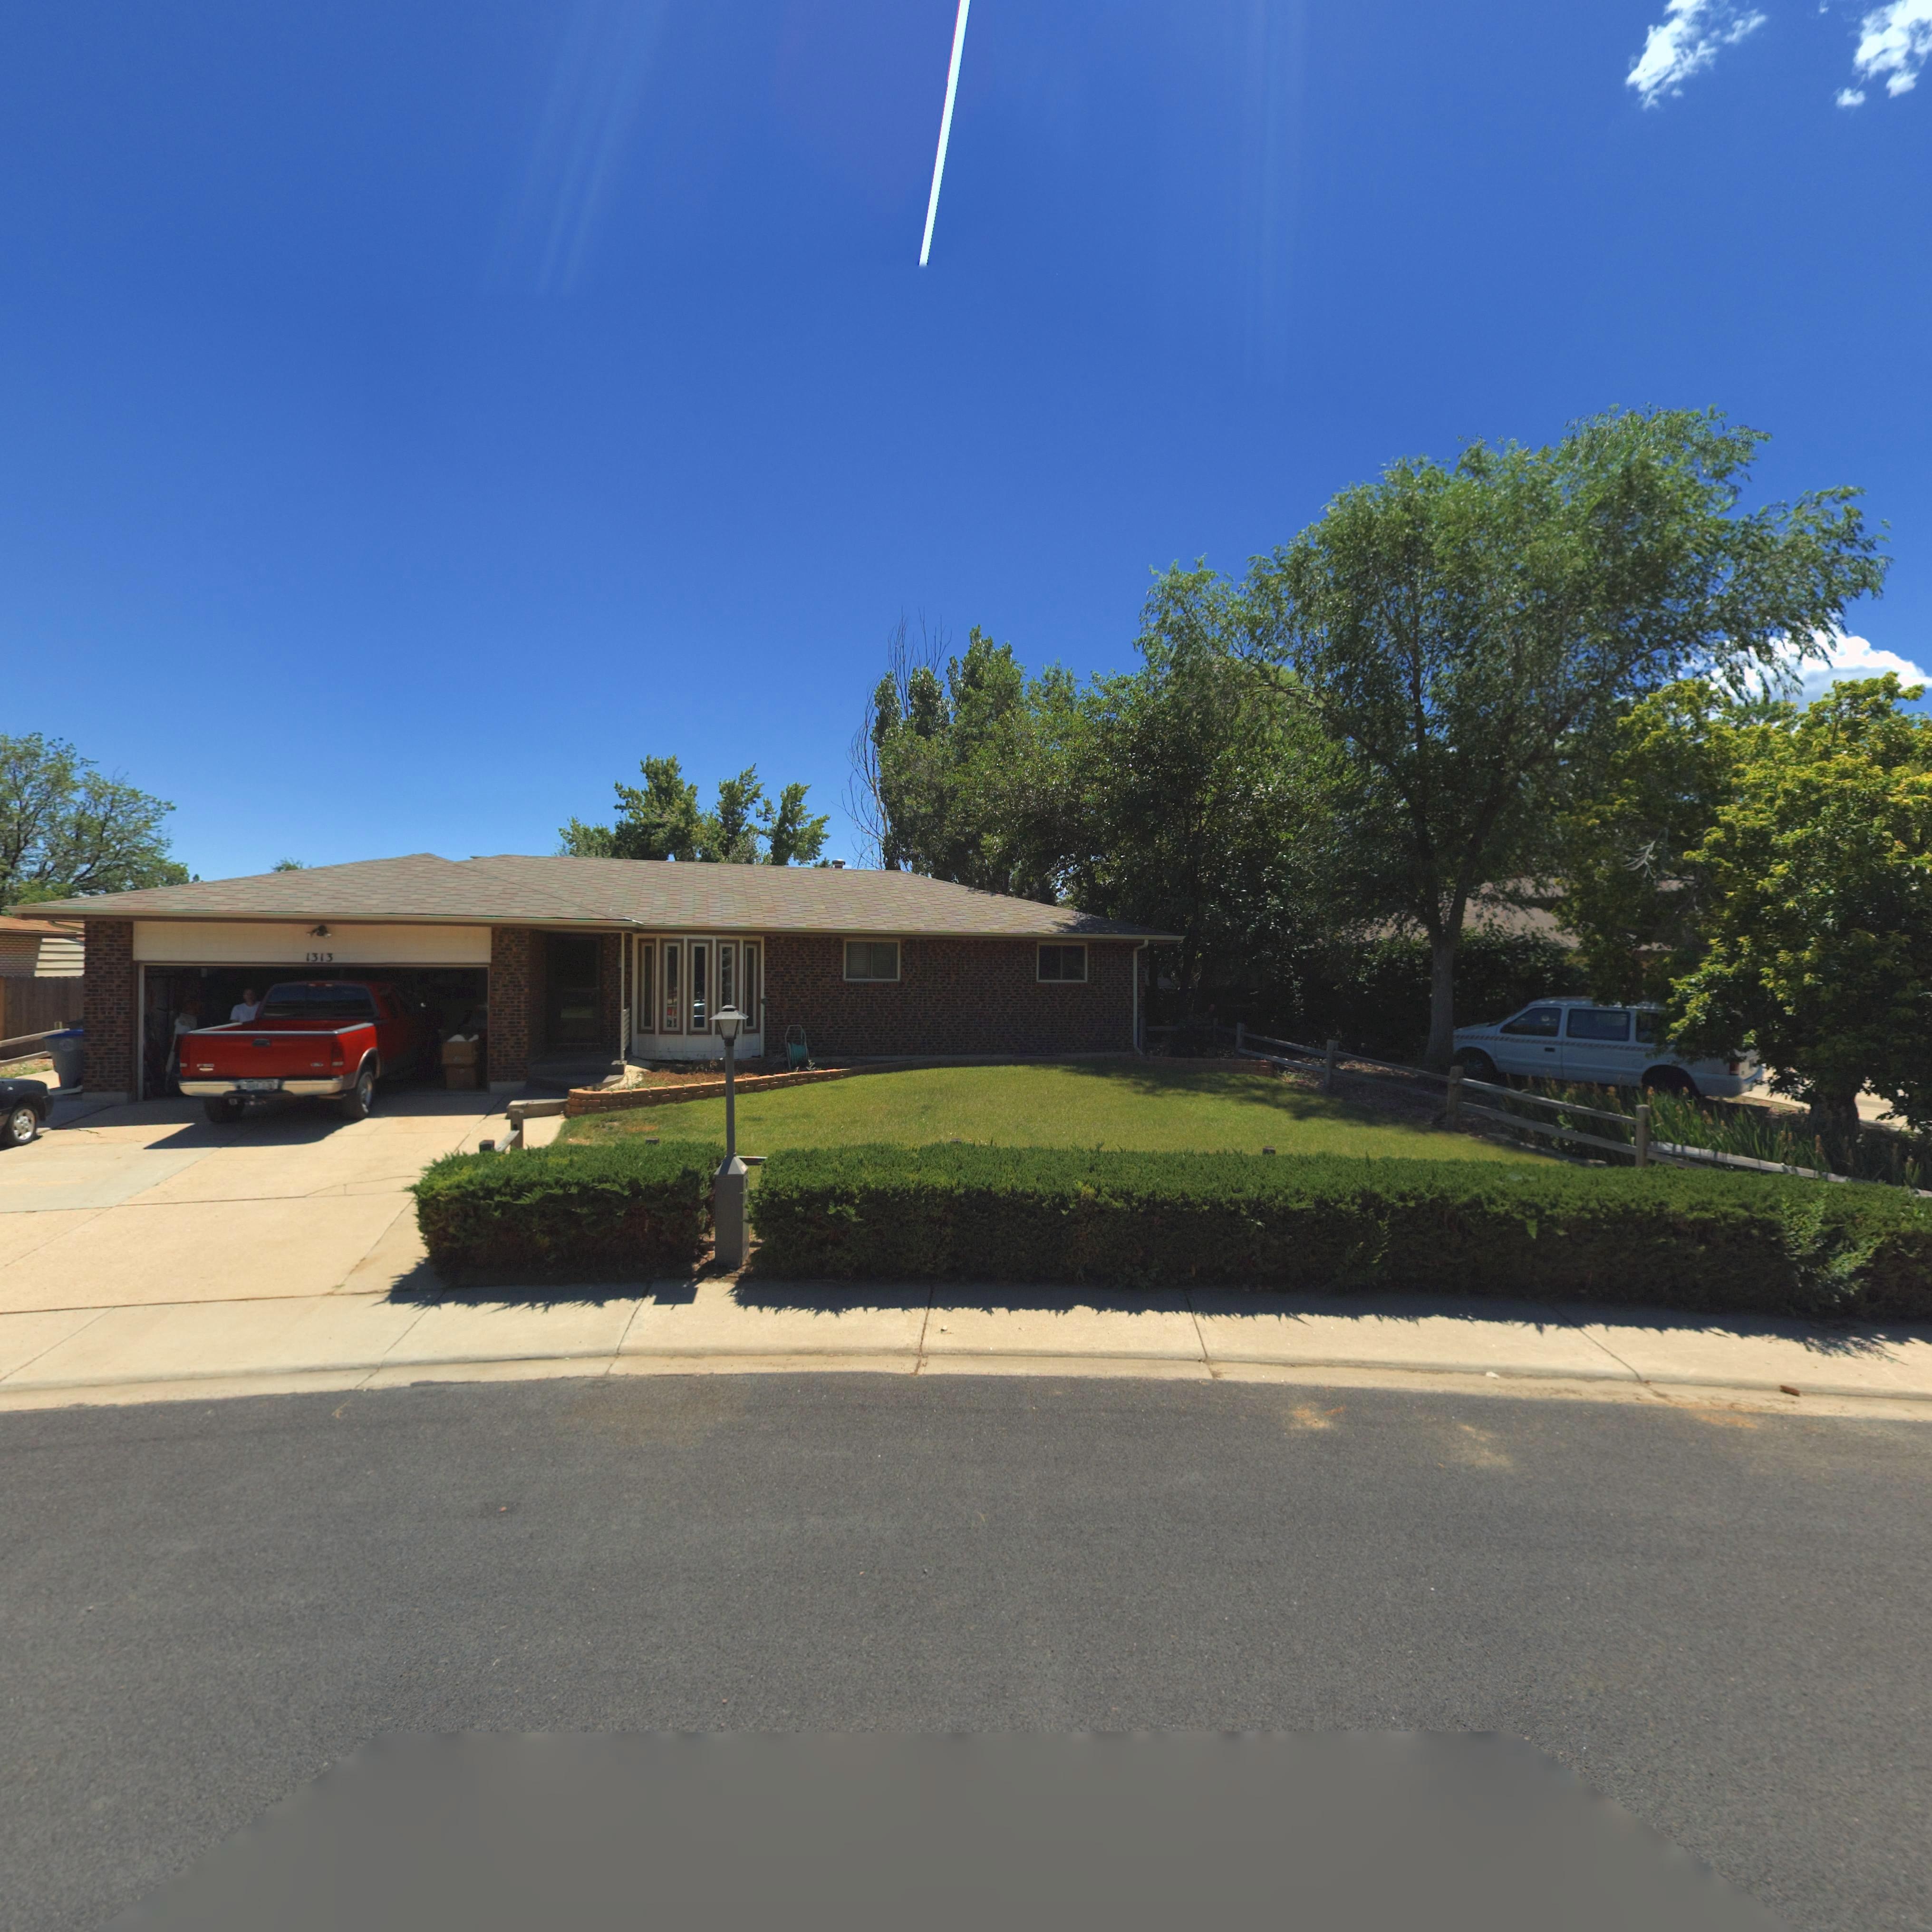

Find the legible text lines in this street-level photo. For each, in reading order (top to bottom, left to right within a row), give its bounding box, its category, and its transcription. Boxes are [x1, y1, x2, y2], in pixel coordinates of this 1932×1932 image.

[306, 952, 332, 962] StreetNumber: 1313